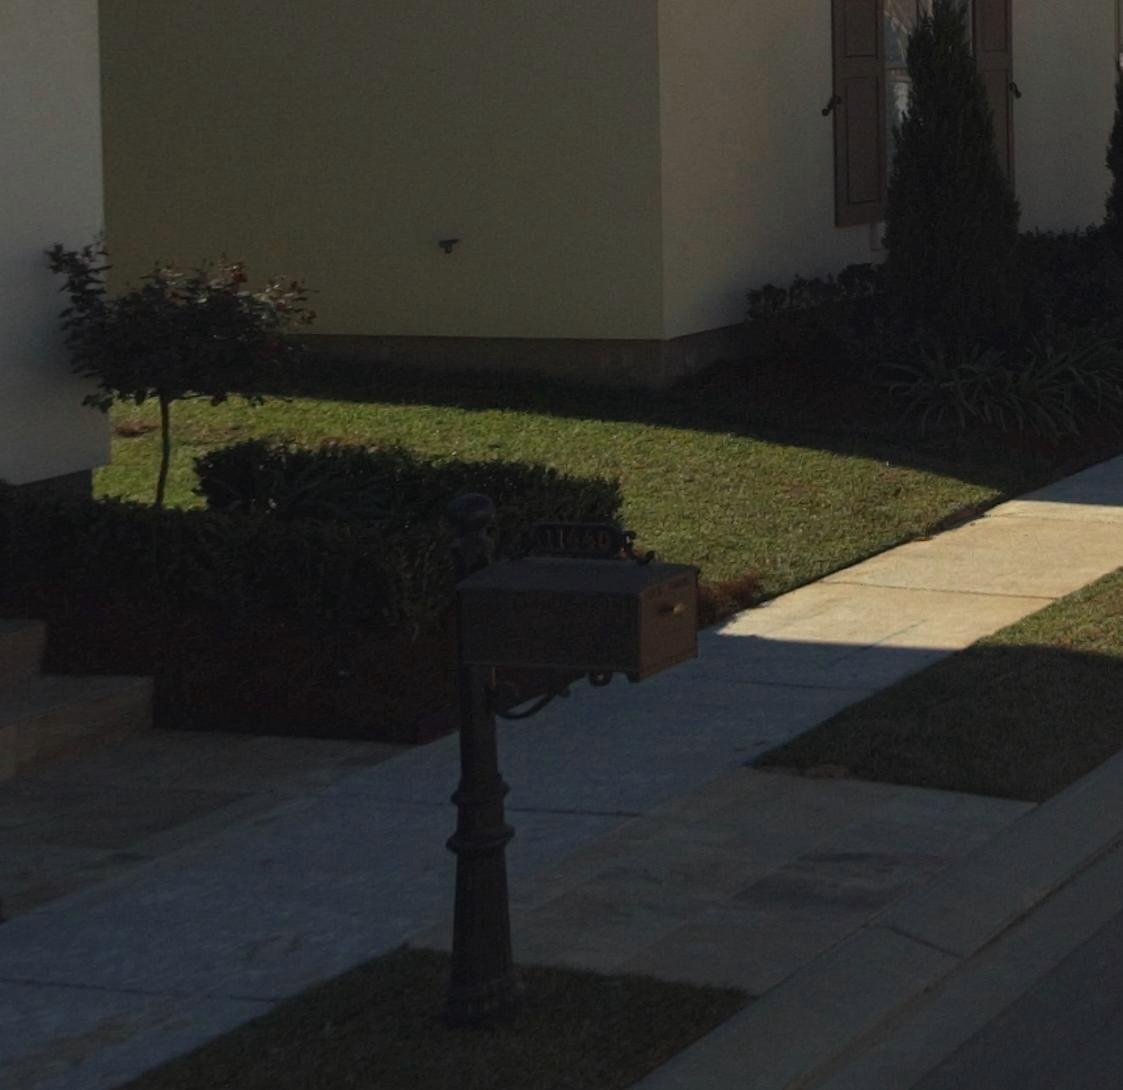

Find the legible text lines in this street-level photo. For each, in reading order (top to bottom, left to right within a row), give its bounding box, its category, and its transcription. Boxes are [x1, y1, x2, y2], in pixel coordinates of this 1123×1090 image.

[543, 526, 613, 553] StreetNumber: 11440